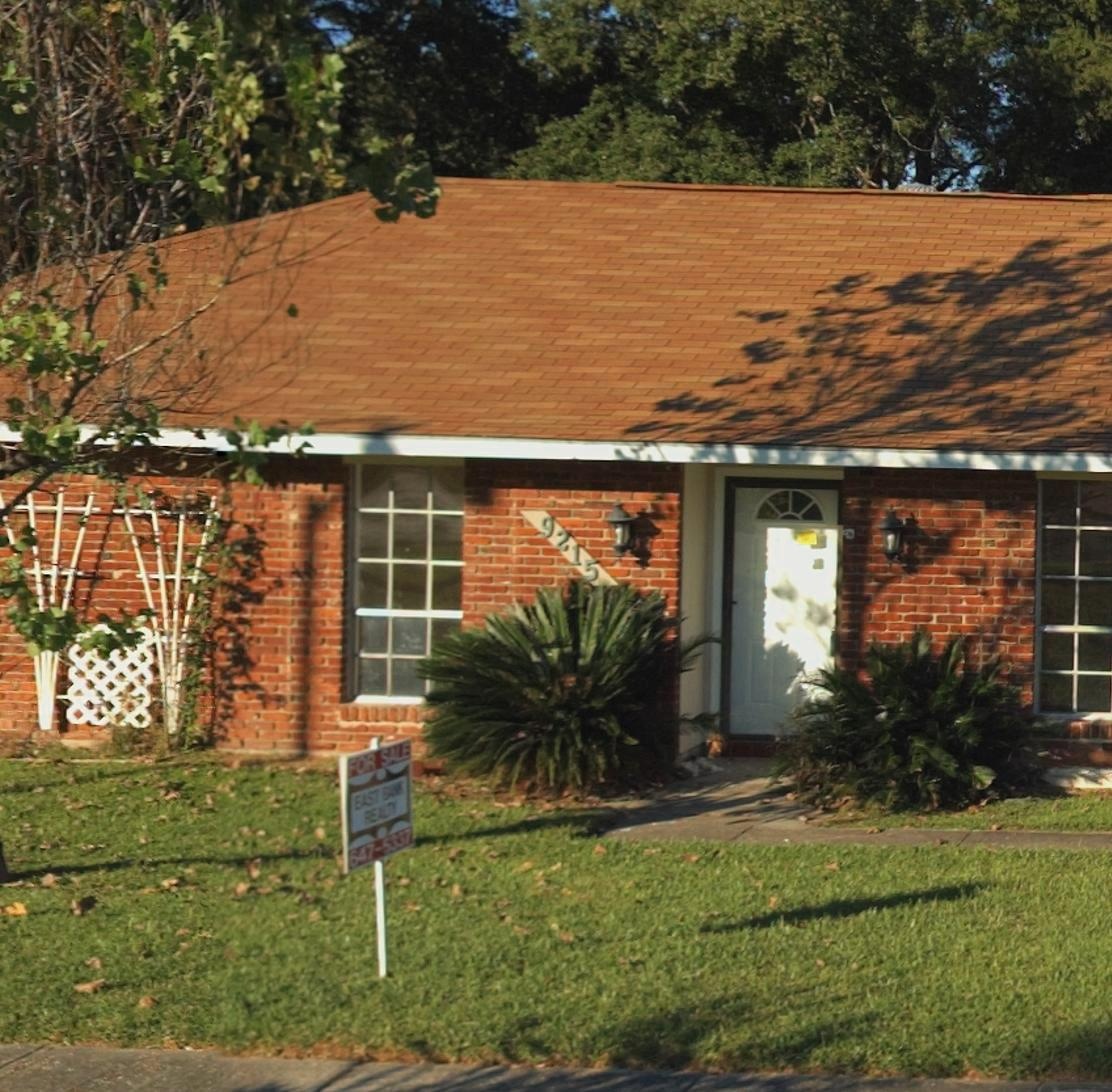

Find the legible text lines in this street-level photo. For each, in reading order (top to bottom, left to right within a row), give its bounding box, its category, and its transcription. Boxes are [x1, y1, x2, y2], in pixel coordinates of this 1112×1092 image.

[535, 513, 605, 586] StreetNumber: 9215
[348, 741, 410, 778] None: FOR SALE
[353, 779, 406, 811] None: EAST BANK
[363, 799, 399, 826] None: REALTY
[349, 826, 412, 869] None: 647-5337